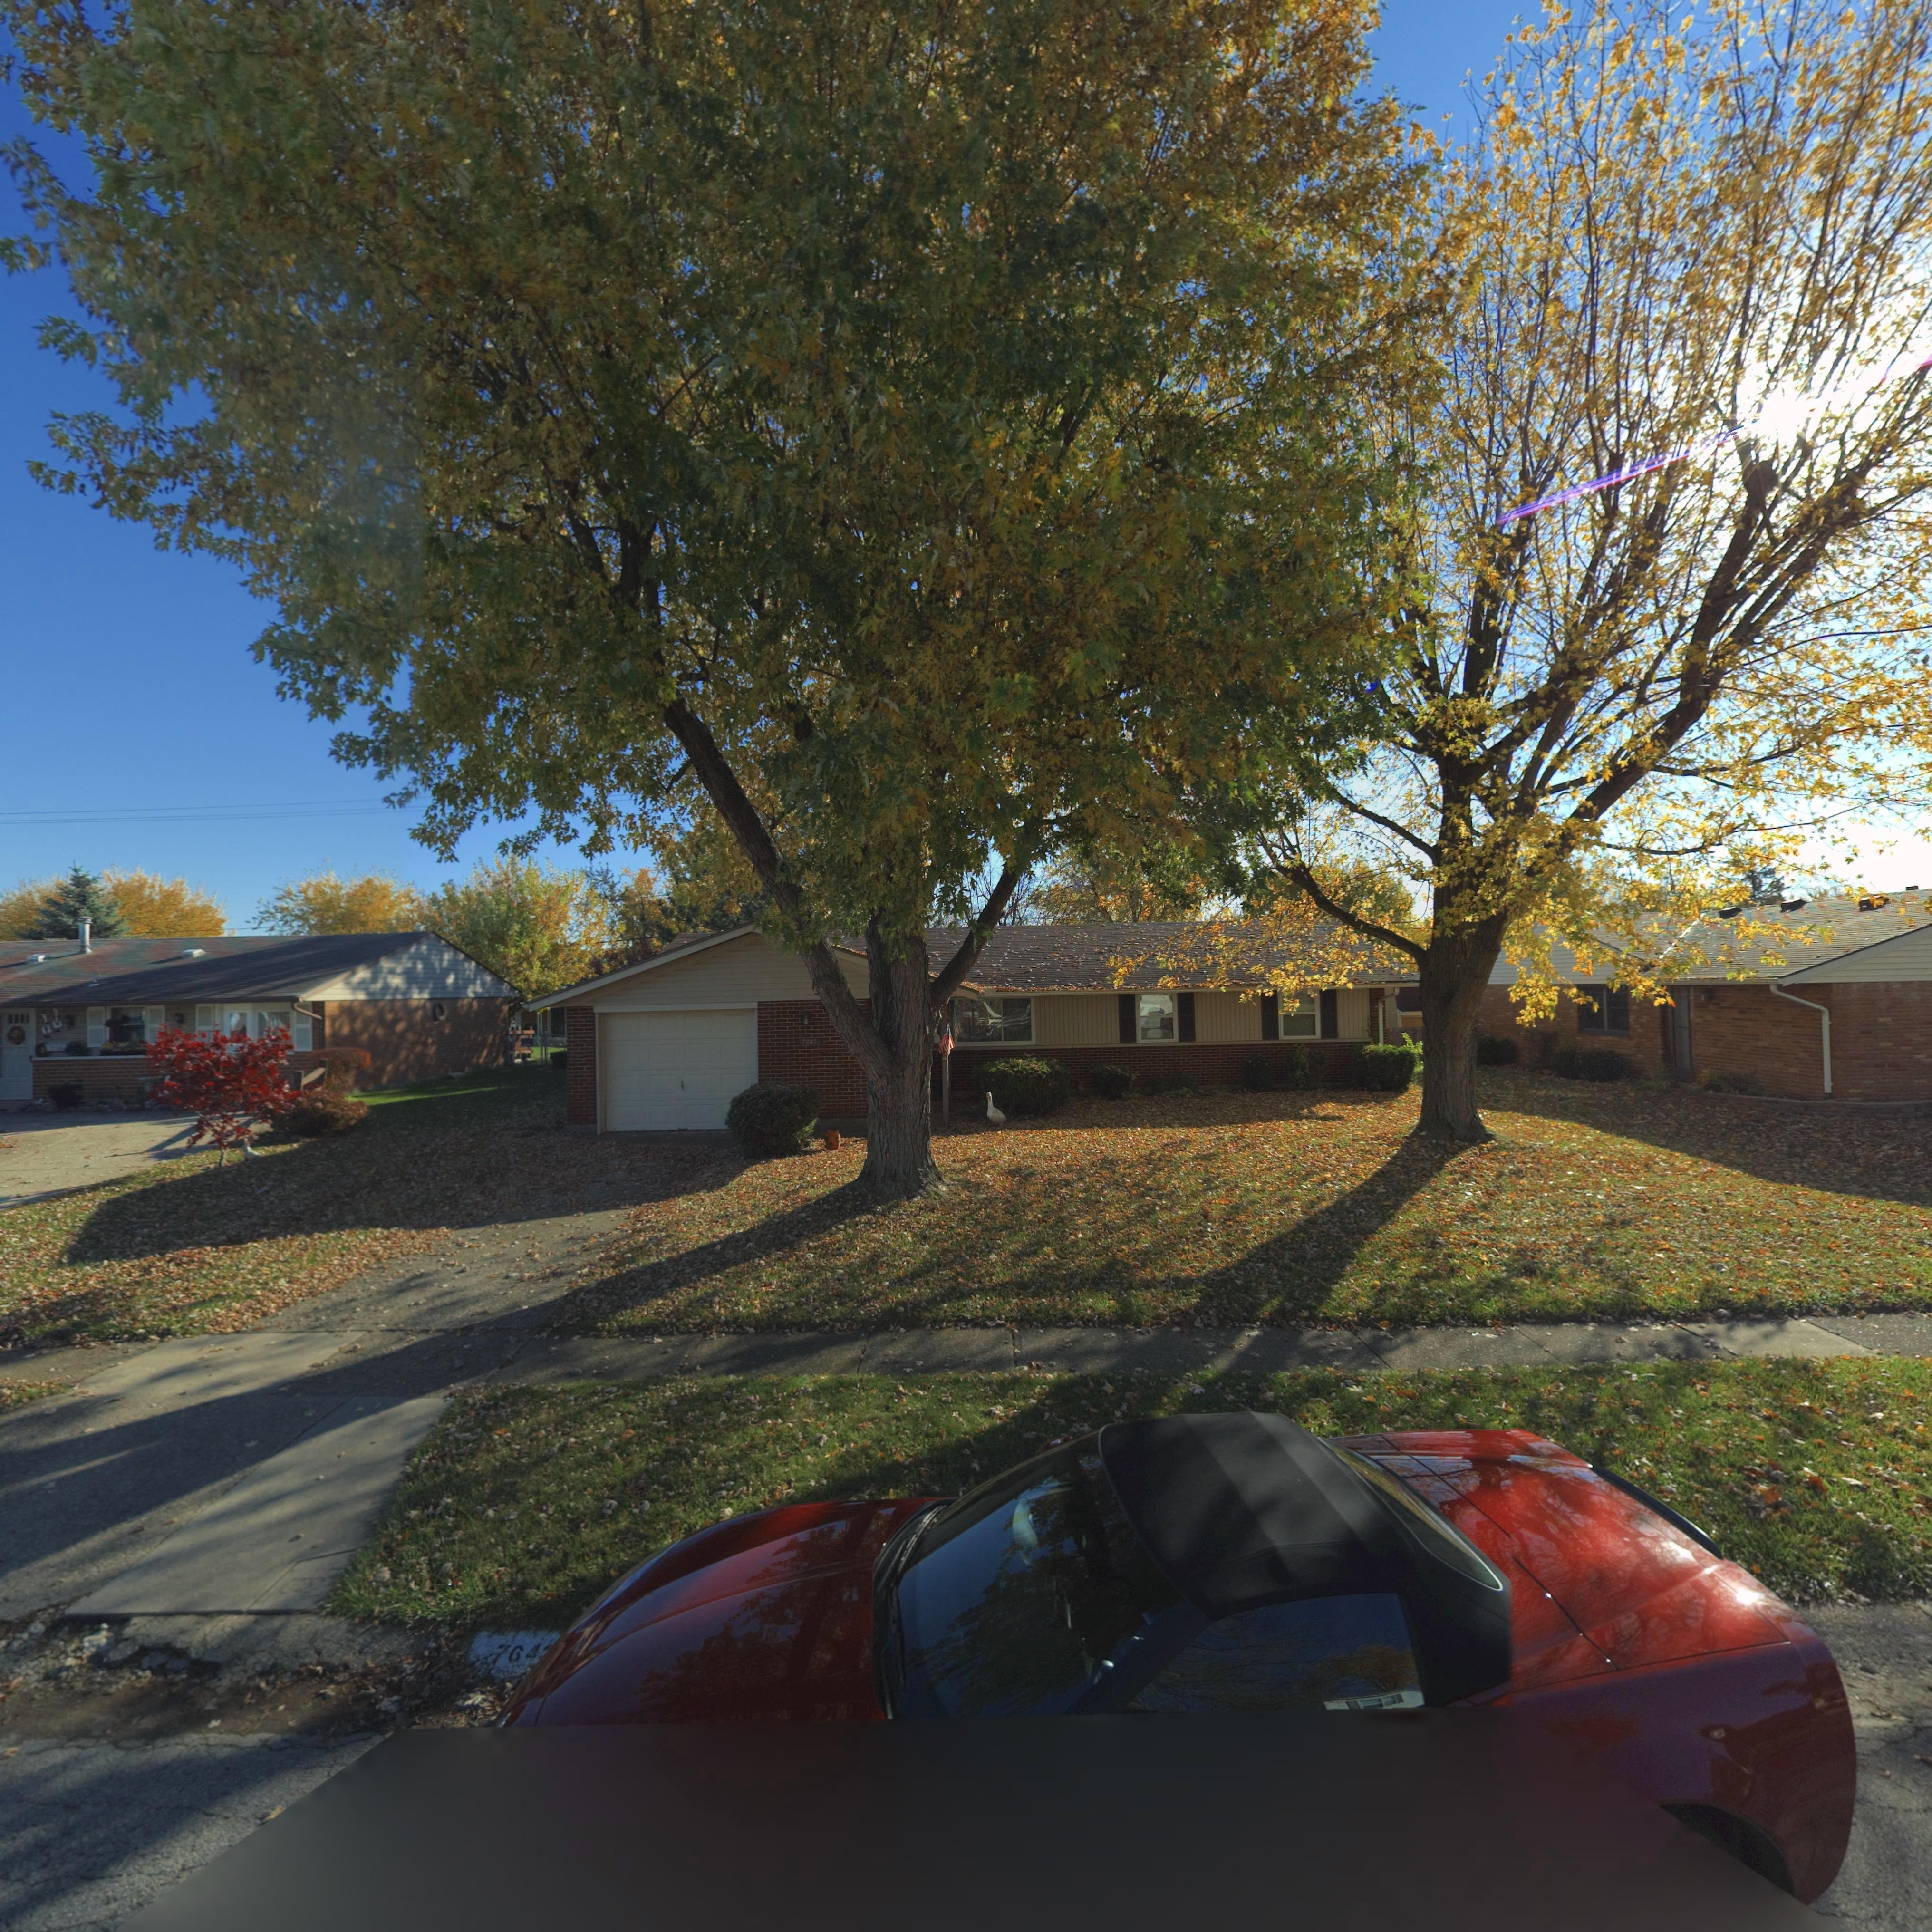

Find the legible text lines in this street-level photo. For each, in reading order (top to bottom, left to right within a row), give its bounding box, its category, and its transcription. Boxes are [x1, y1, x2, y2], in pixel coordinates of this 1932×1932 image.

[801, 1038, 818, 1045] StreetNumber: 7842
[492, 1642, 543, 1667] StreetNumber: 764